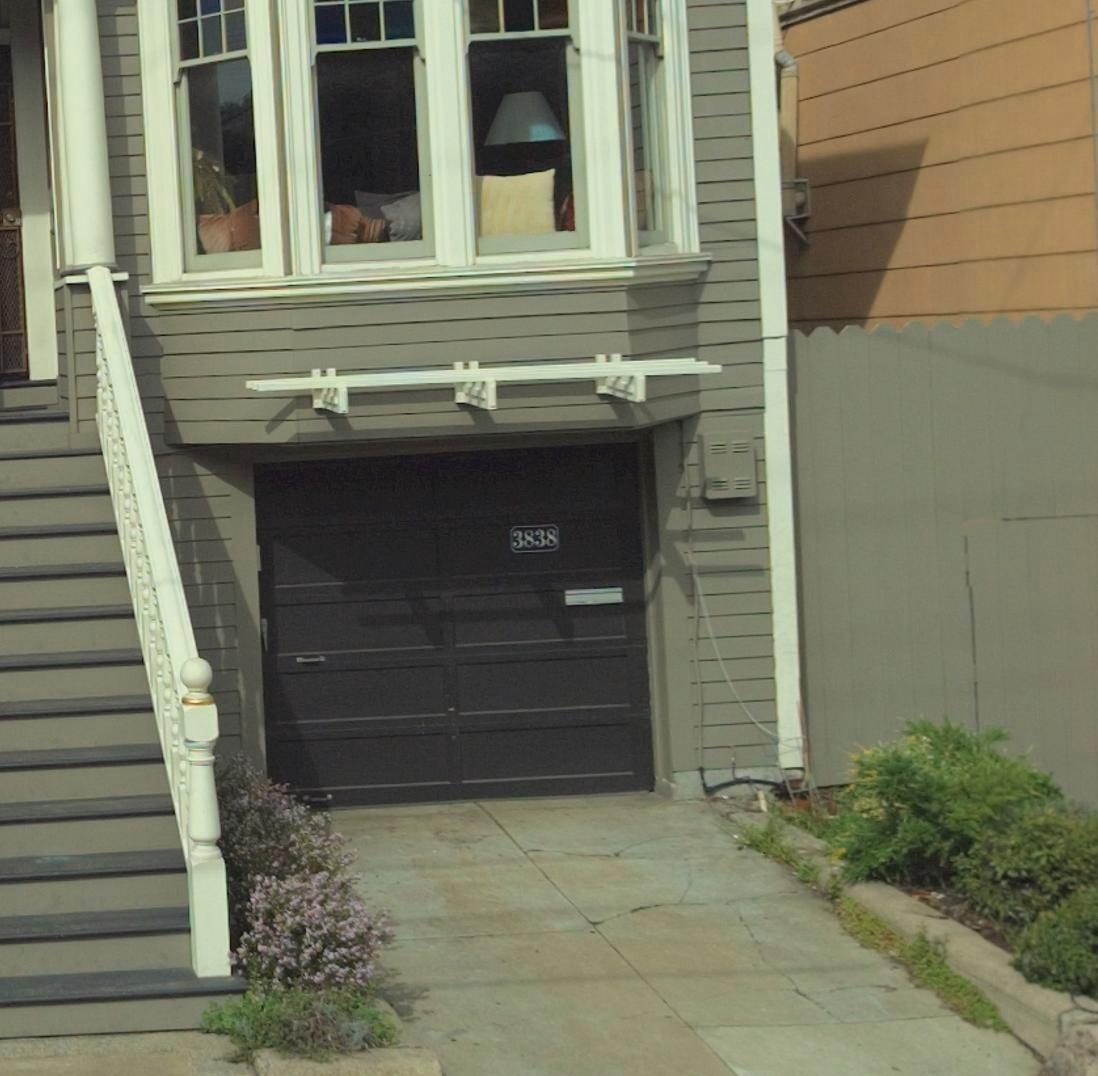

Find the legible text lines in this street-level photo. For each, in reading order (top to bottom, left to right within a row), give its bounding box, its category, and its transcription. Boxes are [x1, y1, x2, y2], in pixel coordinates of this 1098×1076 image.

[511, 527, 559, 550] StreetNumber: 3838